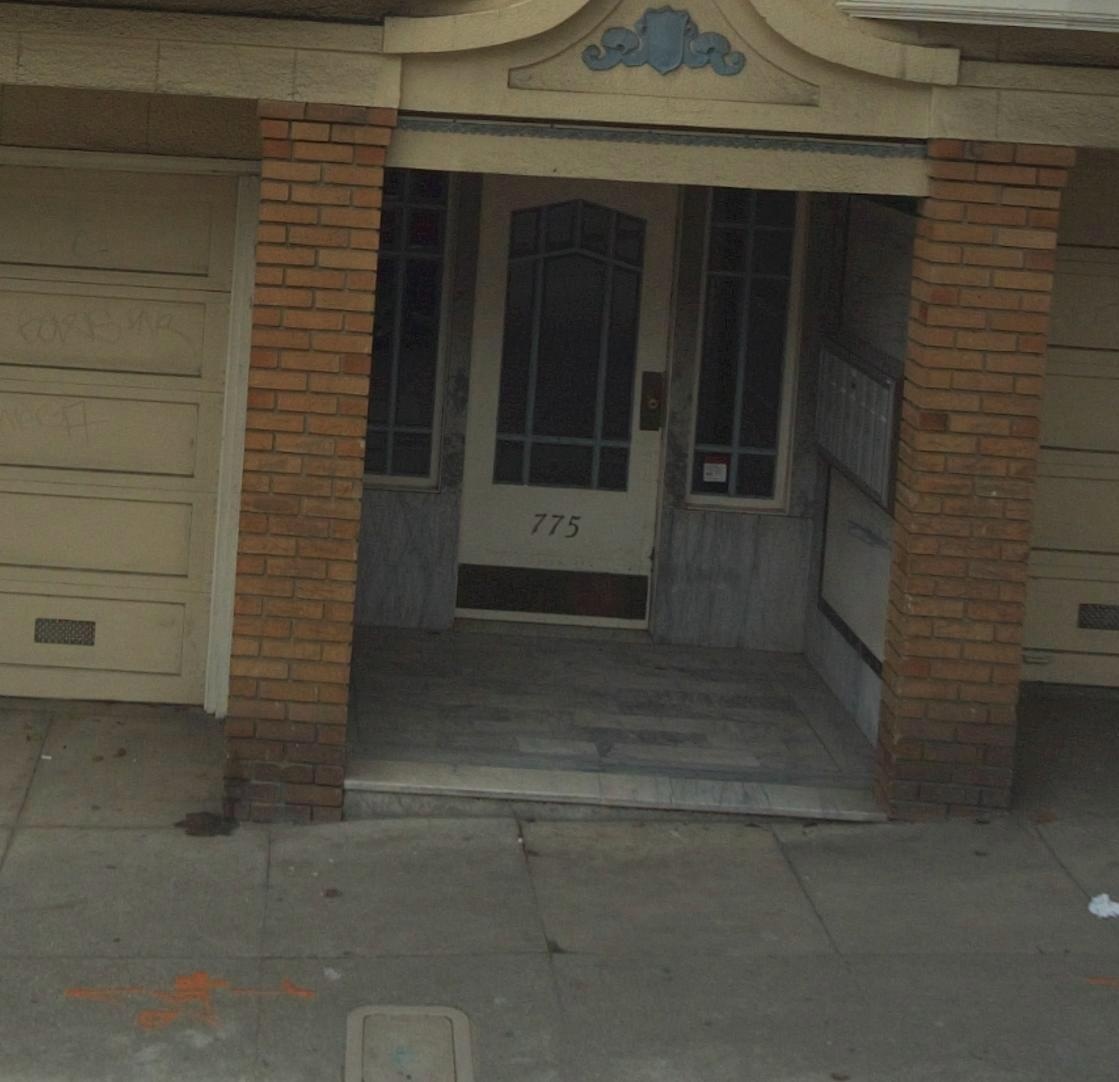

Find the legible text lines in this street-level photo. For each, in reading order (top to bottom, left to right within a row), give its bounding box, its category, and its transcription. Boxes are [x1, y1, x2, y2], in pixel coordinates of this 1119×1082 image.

[529, 512, 584, 539] StreetNumber: 775